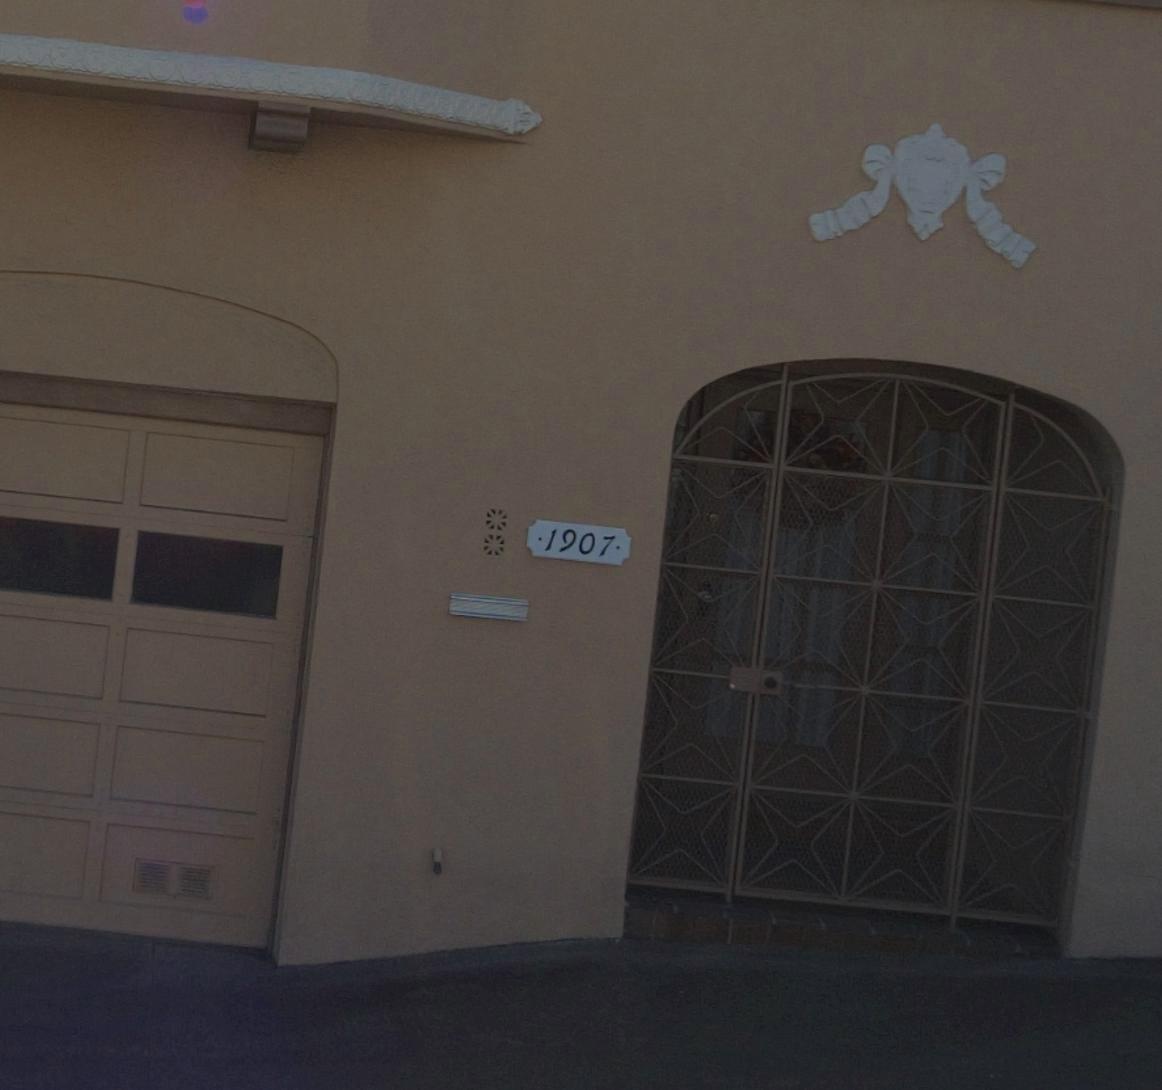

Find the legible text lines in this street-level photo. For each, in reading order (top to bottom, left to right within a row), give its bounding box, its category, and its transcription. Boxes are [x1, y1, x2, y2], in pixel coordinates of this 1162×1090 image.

[543, 527, 619, 559] StreetNumber: 1907